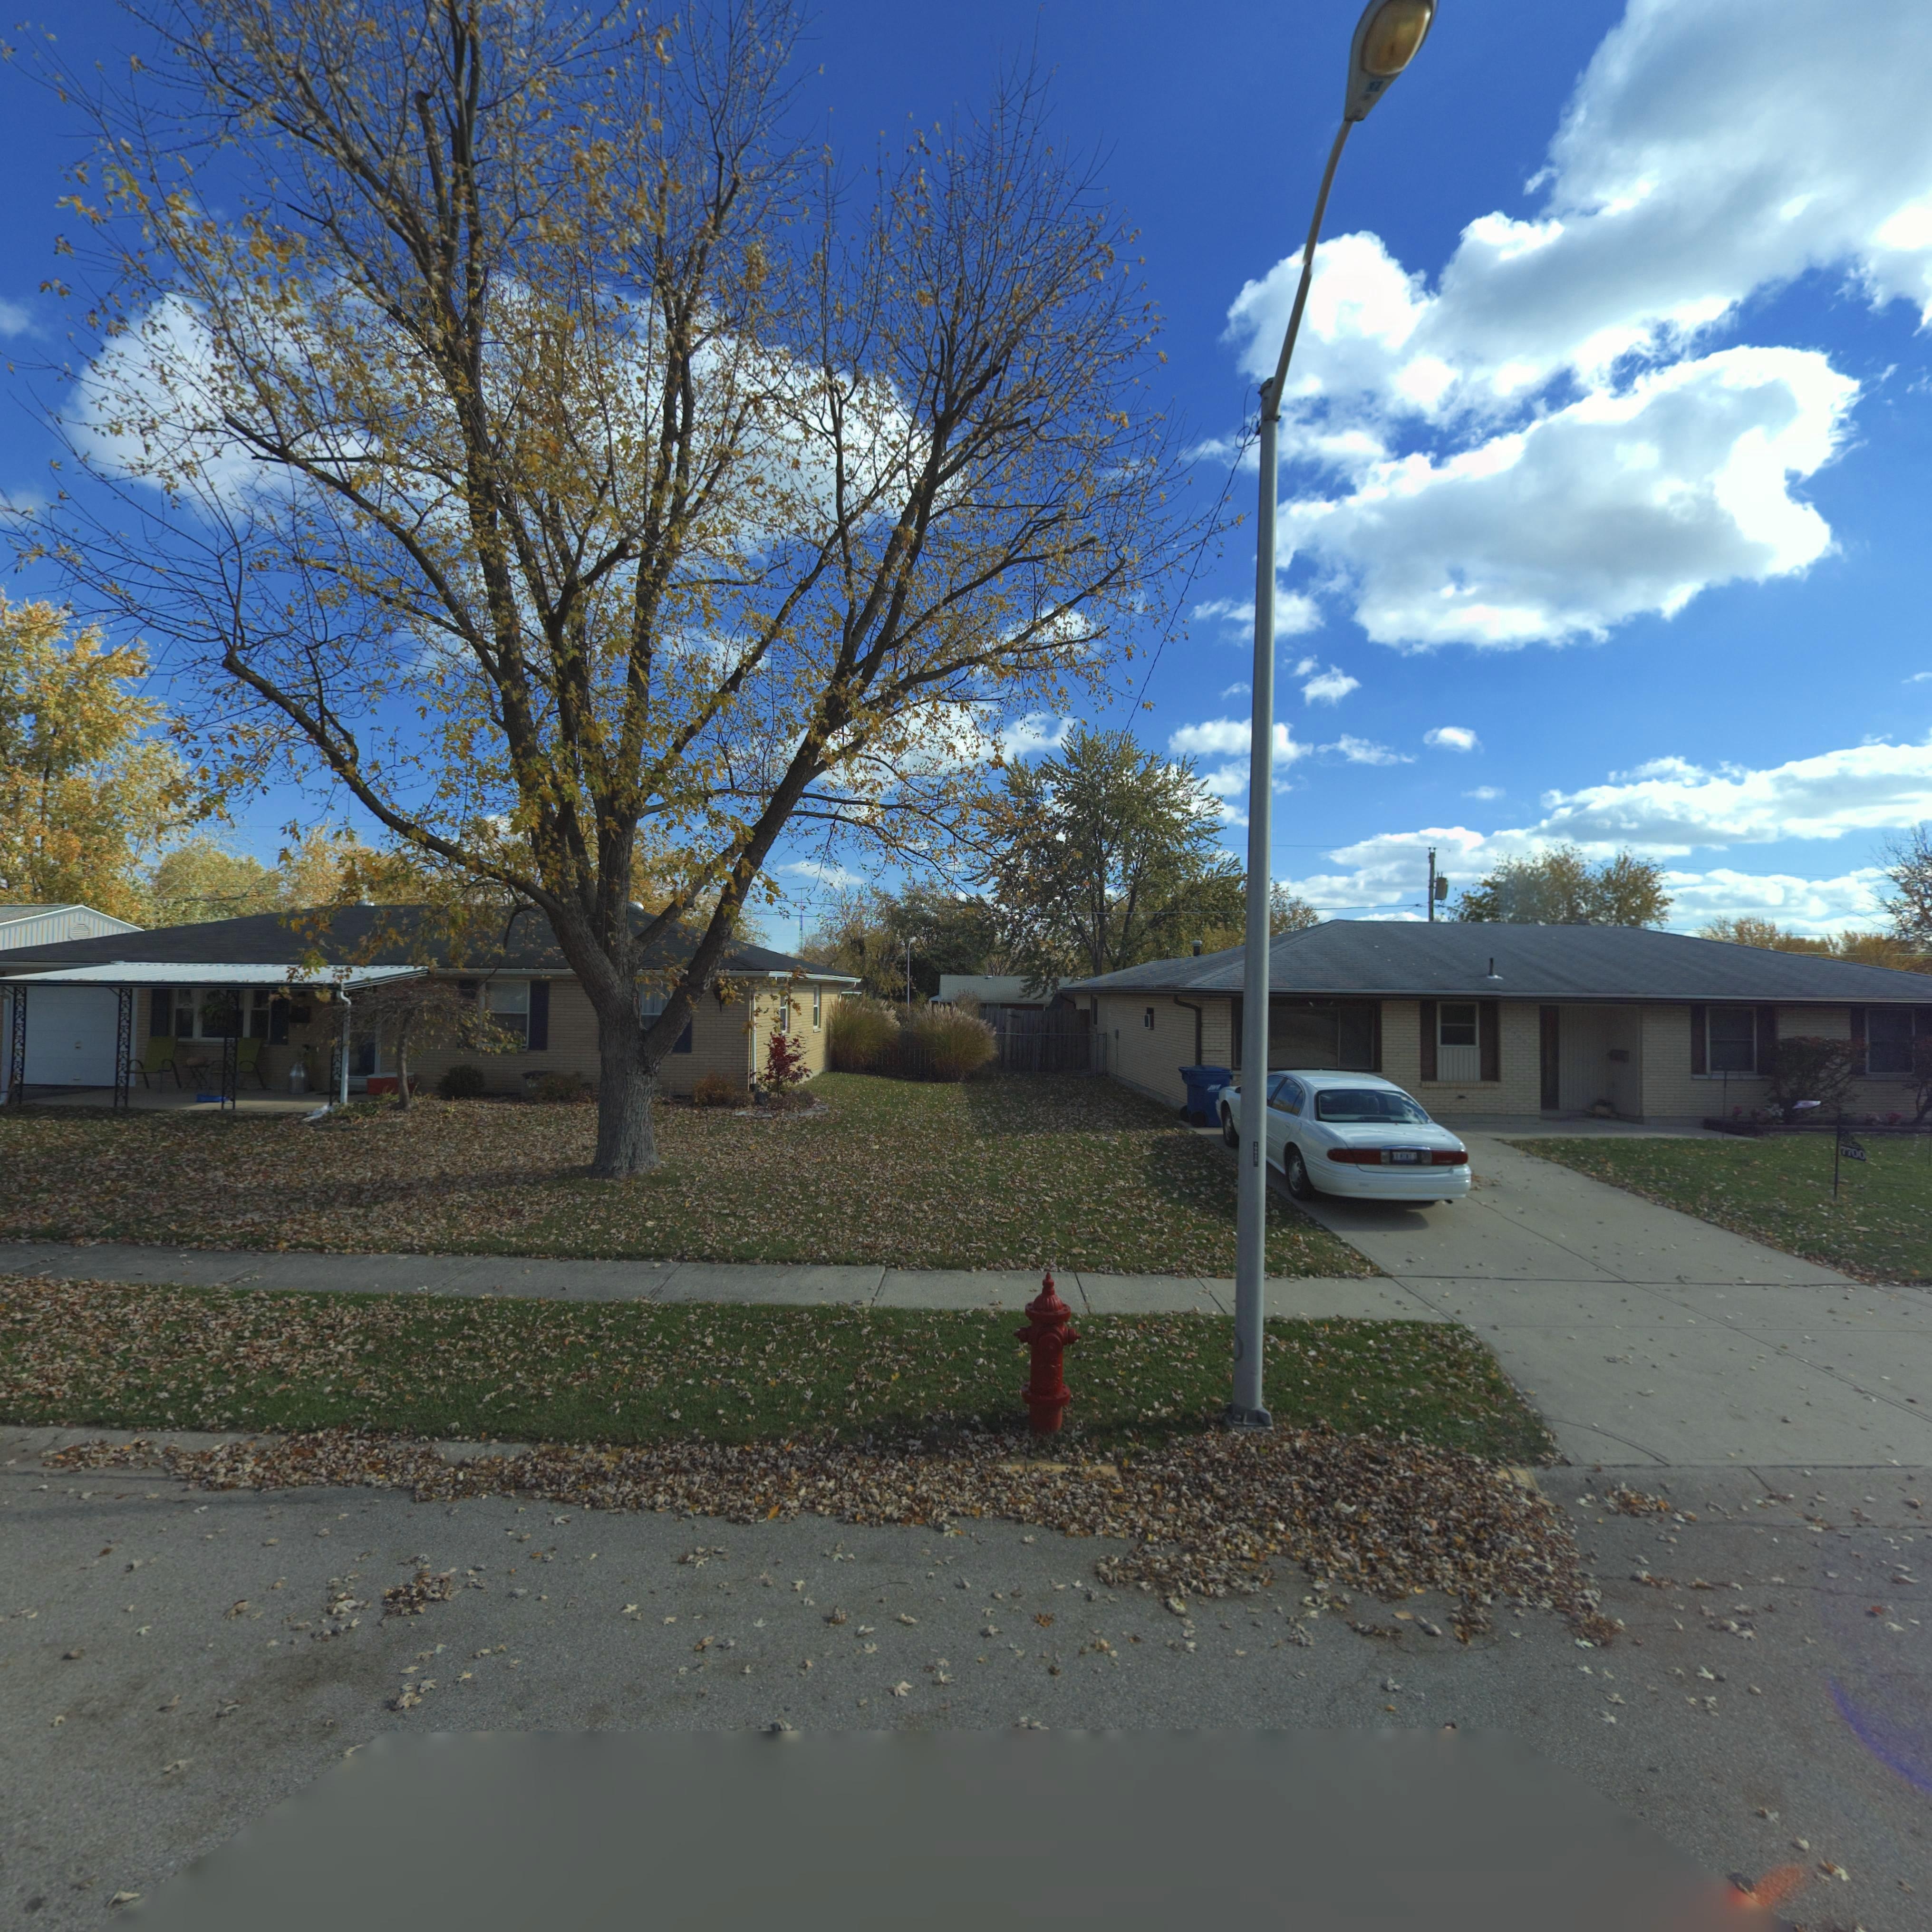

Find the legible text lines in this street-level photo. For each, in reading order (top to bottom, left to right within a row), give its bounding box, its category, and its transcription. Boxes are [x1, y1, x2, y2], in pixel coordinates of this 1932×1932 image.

[1840, 1145, 1867, 1160] StreetNumber: 7700